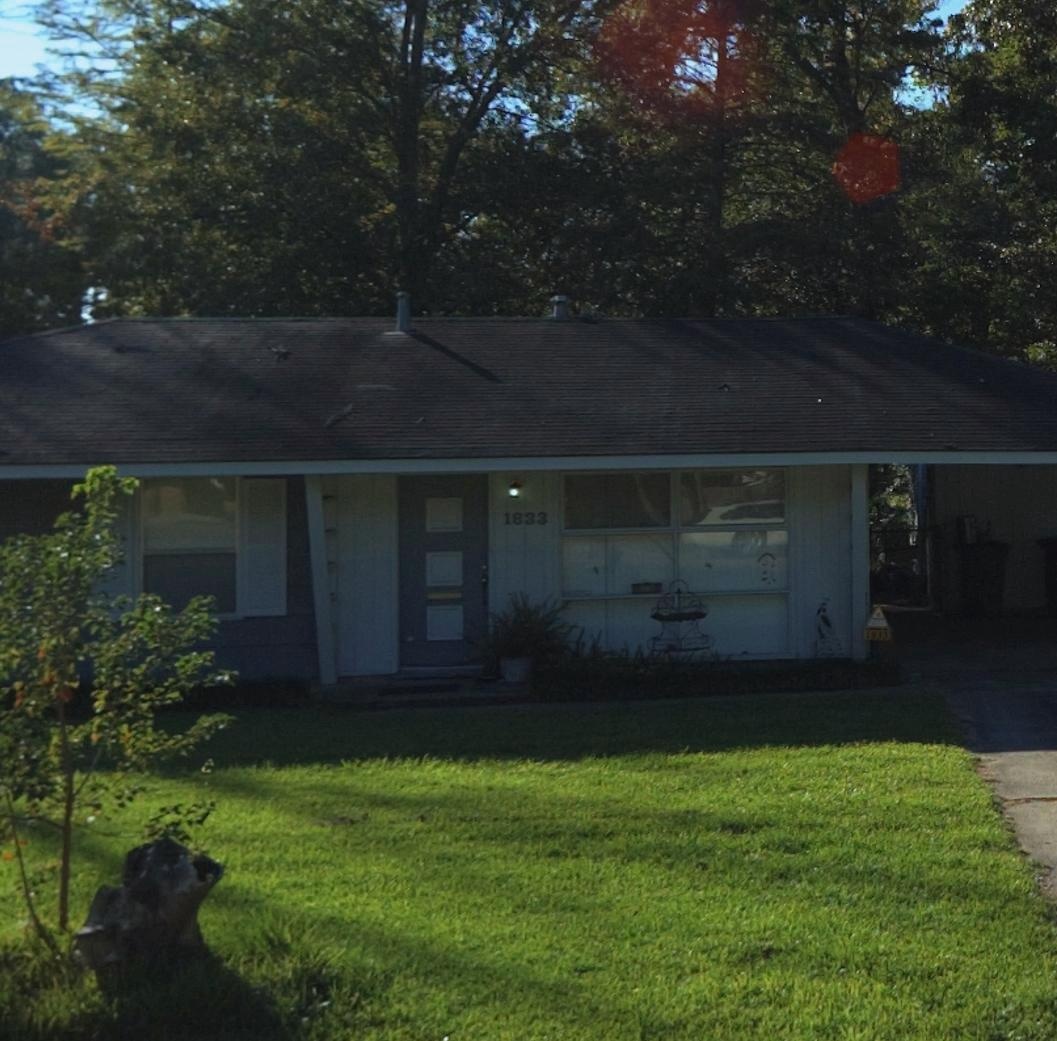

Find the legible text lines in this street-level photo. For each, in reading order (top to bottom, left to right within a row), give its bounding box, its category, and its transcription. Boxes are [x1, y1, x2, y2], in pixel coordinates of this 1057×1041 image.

[503, 511, 549, 526] StreetNumber: 1833
[864, 630, 889, 640] StreetNumber: 1833